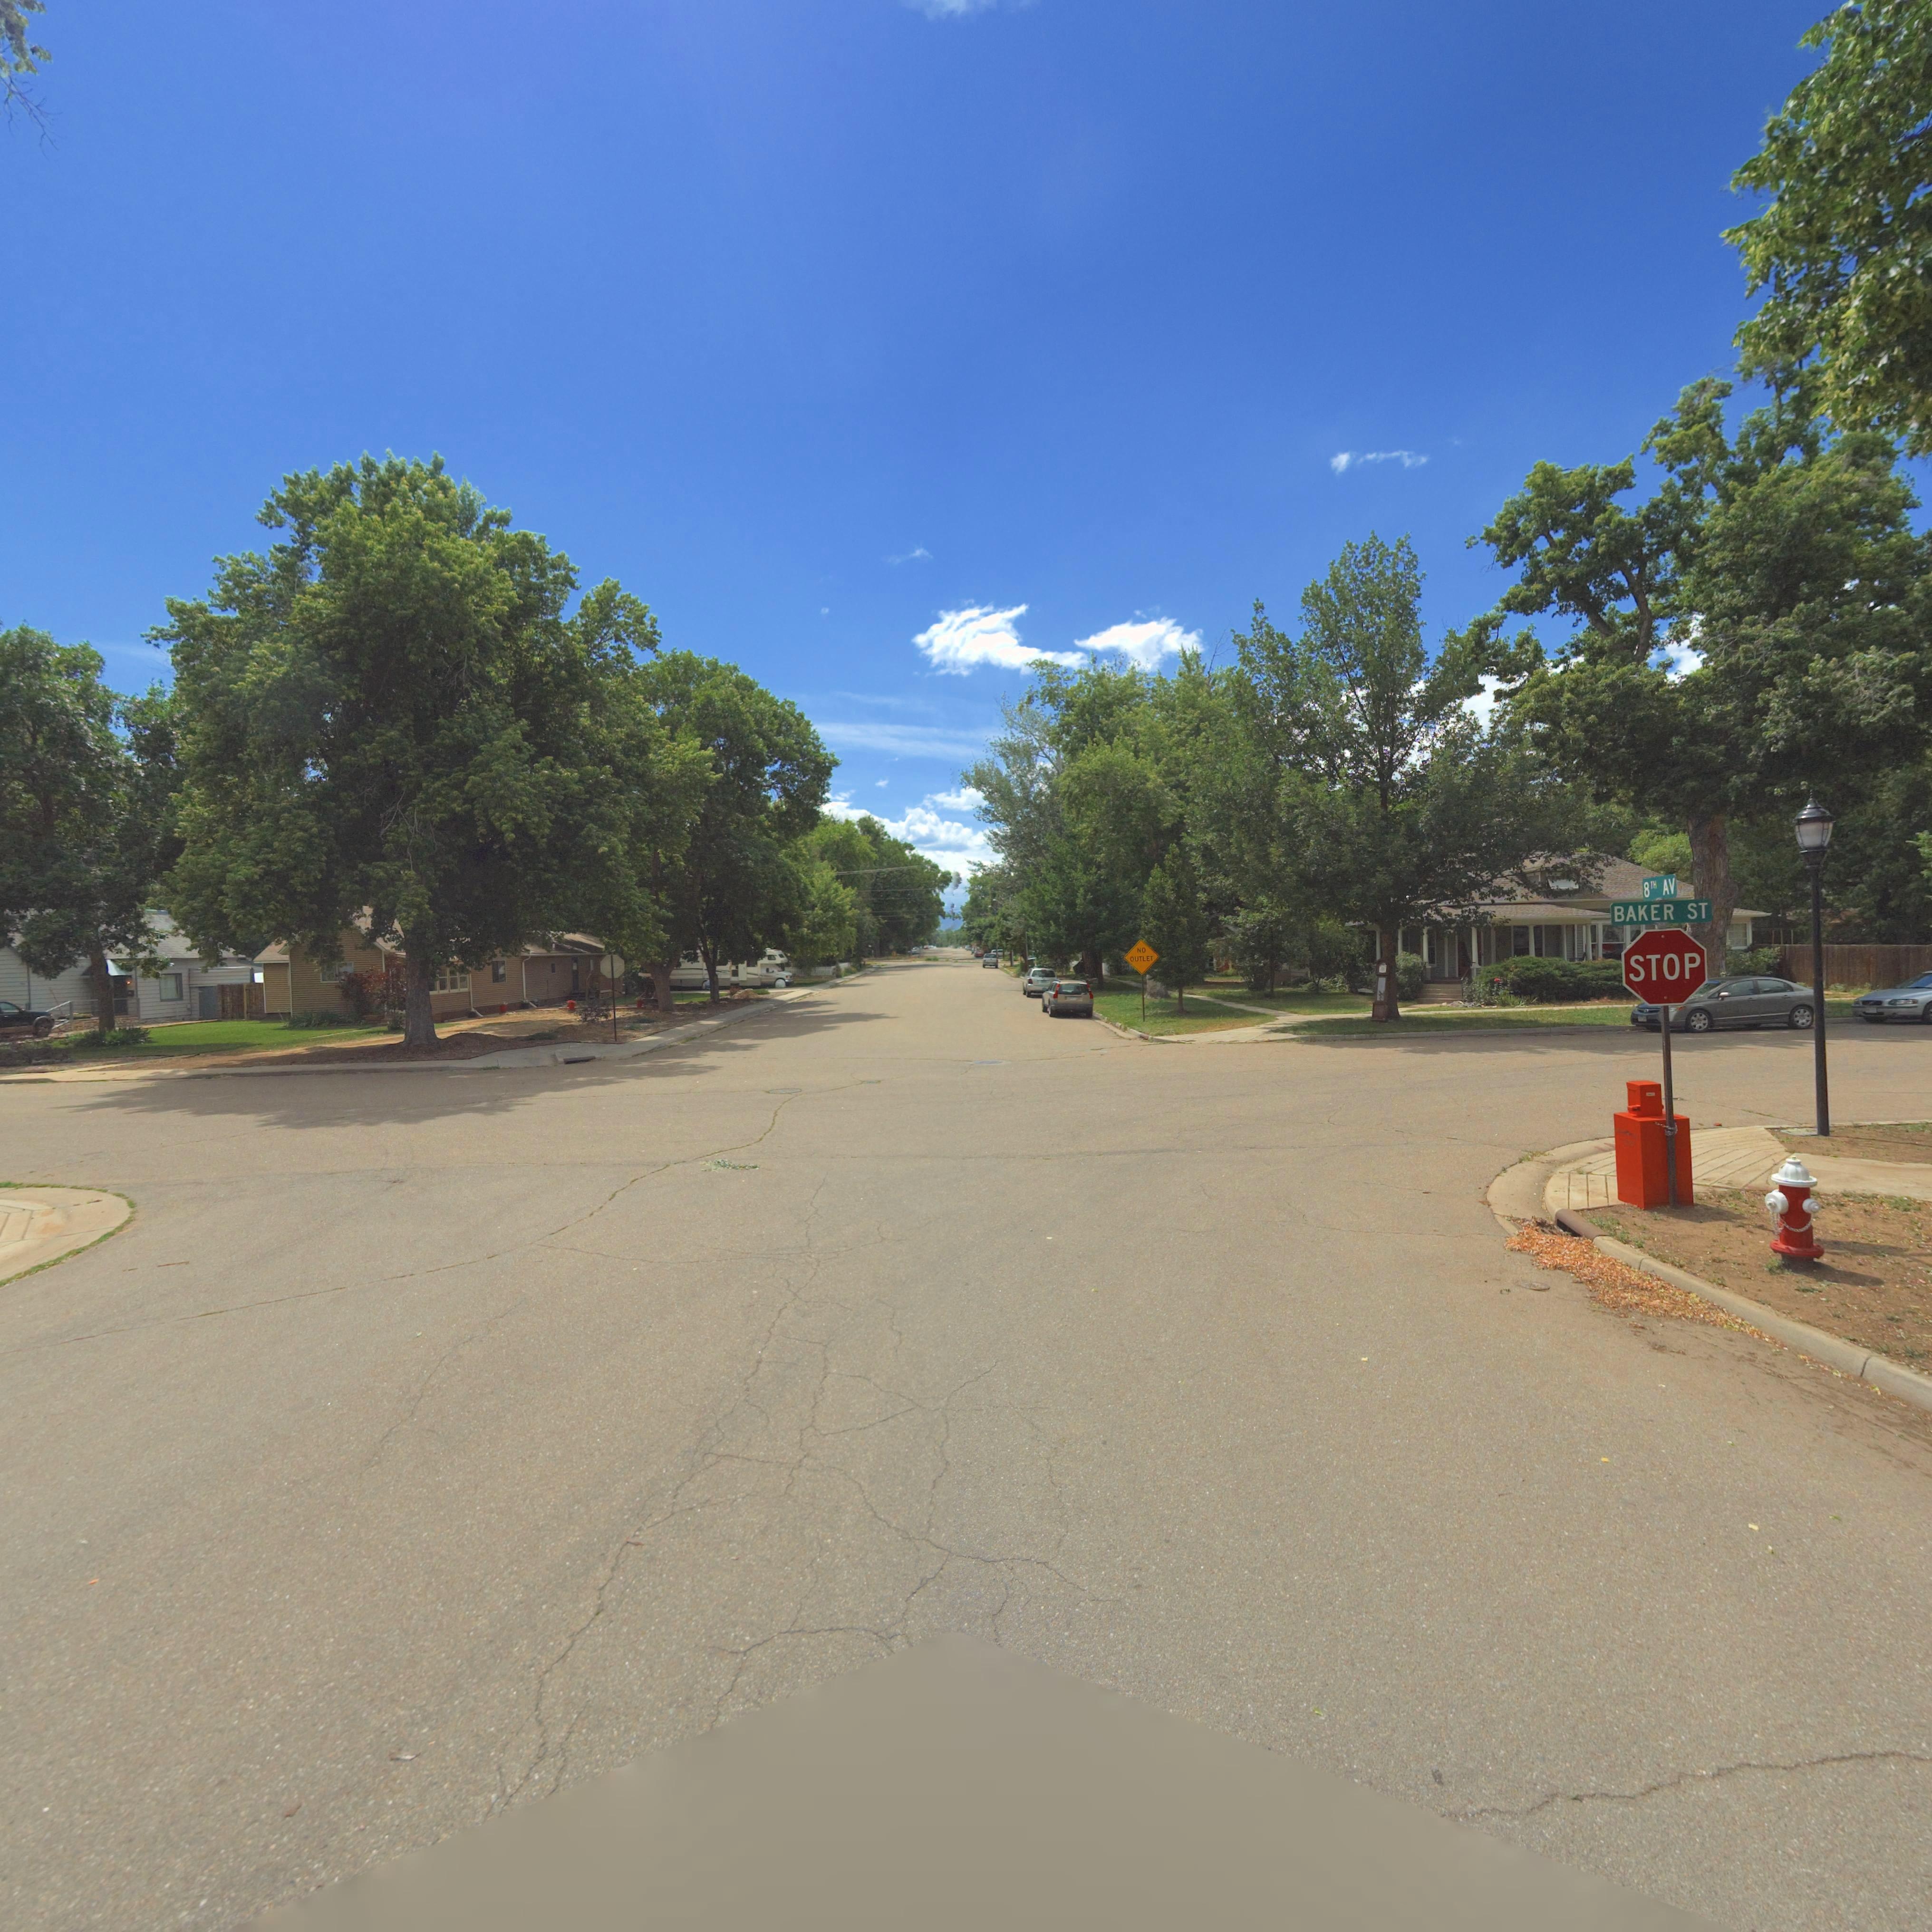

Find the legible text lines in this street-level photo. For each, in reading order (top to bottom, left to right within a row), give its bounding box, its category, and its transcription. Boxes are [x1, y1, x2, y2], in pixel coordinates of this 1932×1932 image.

[1643, 876, 1675, 898] StreetName: 8TH AV
[1613, 902, 1709, 922] BusinessName: BAKER ST